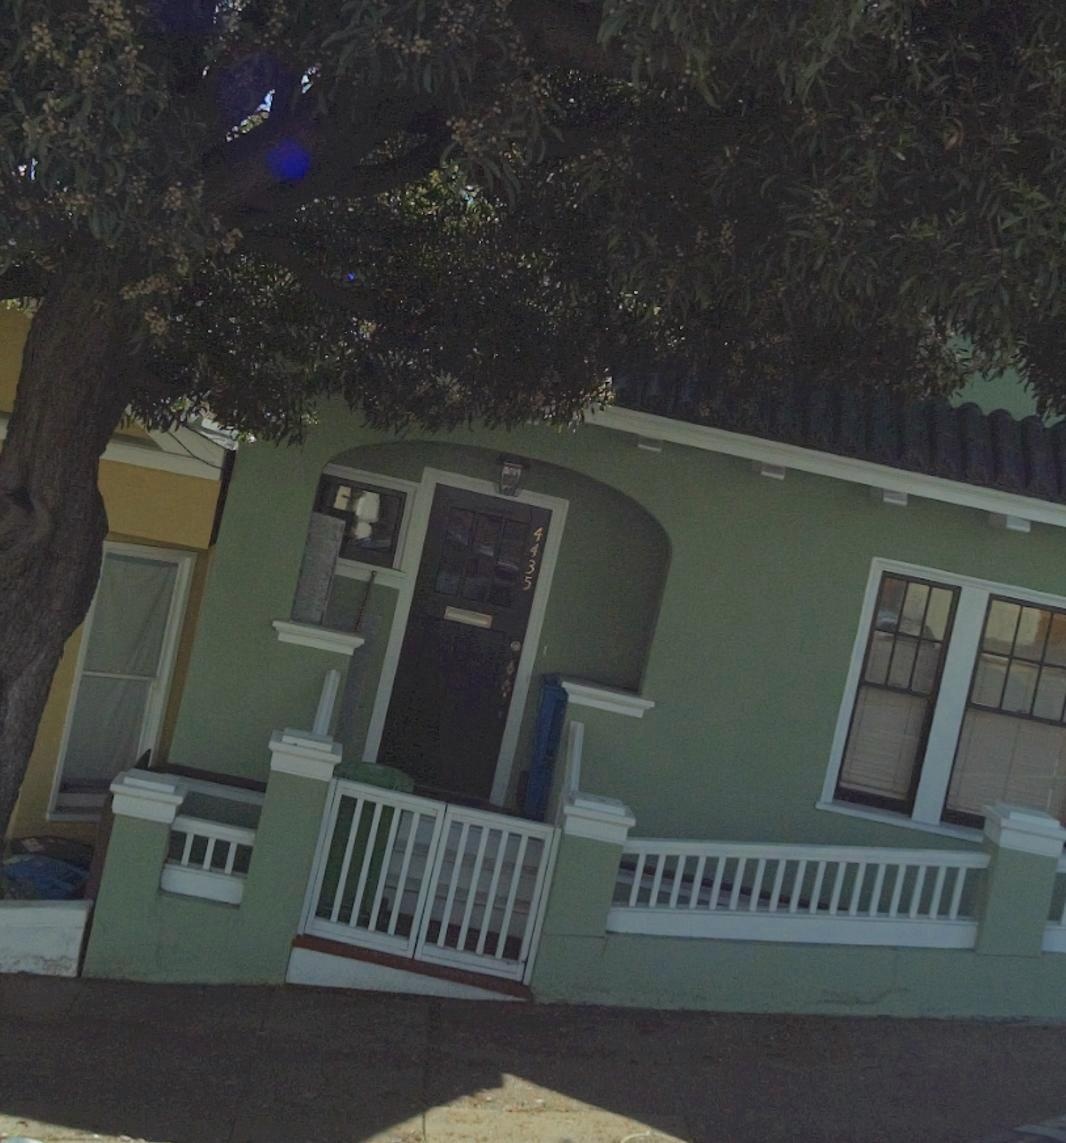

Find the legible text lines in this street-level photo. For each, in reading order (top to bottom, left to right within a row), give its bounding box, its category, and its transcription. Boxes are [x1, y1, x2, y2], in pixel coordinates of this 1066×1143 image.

[519, 524, 548, 593] StreetNumber: 4435